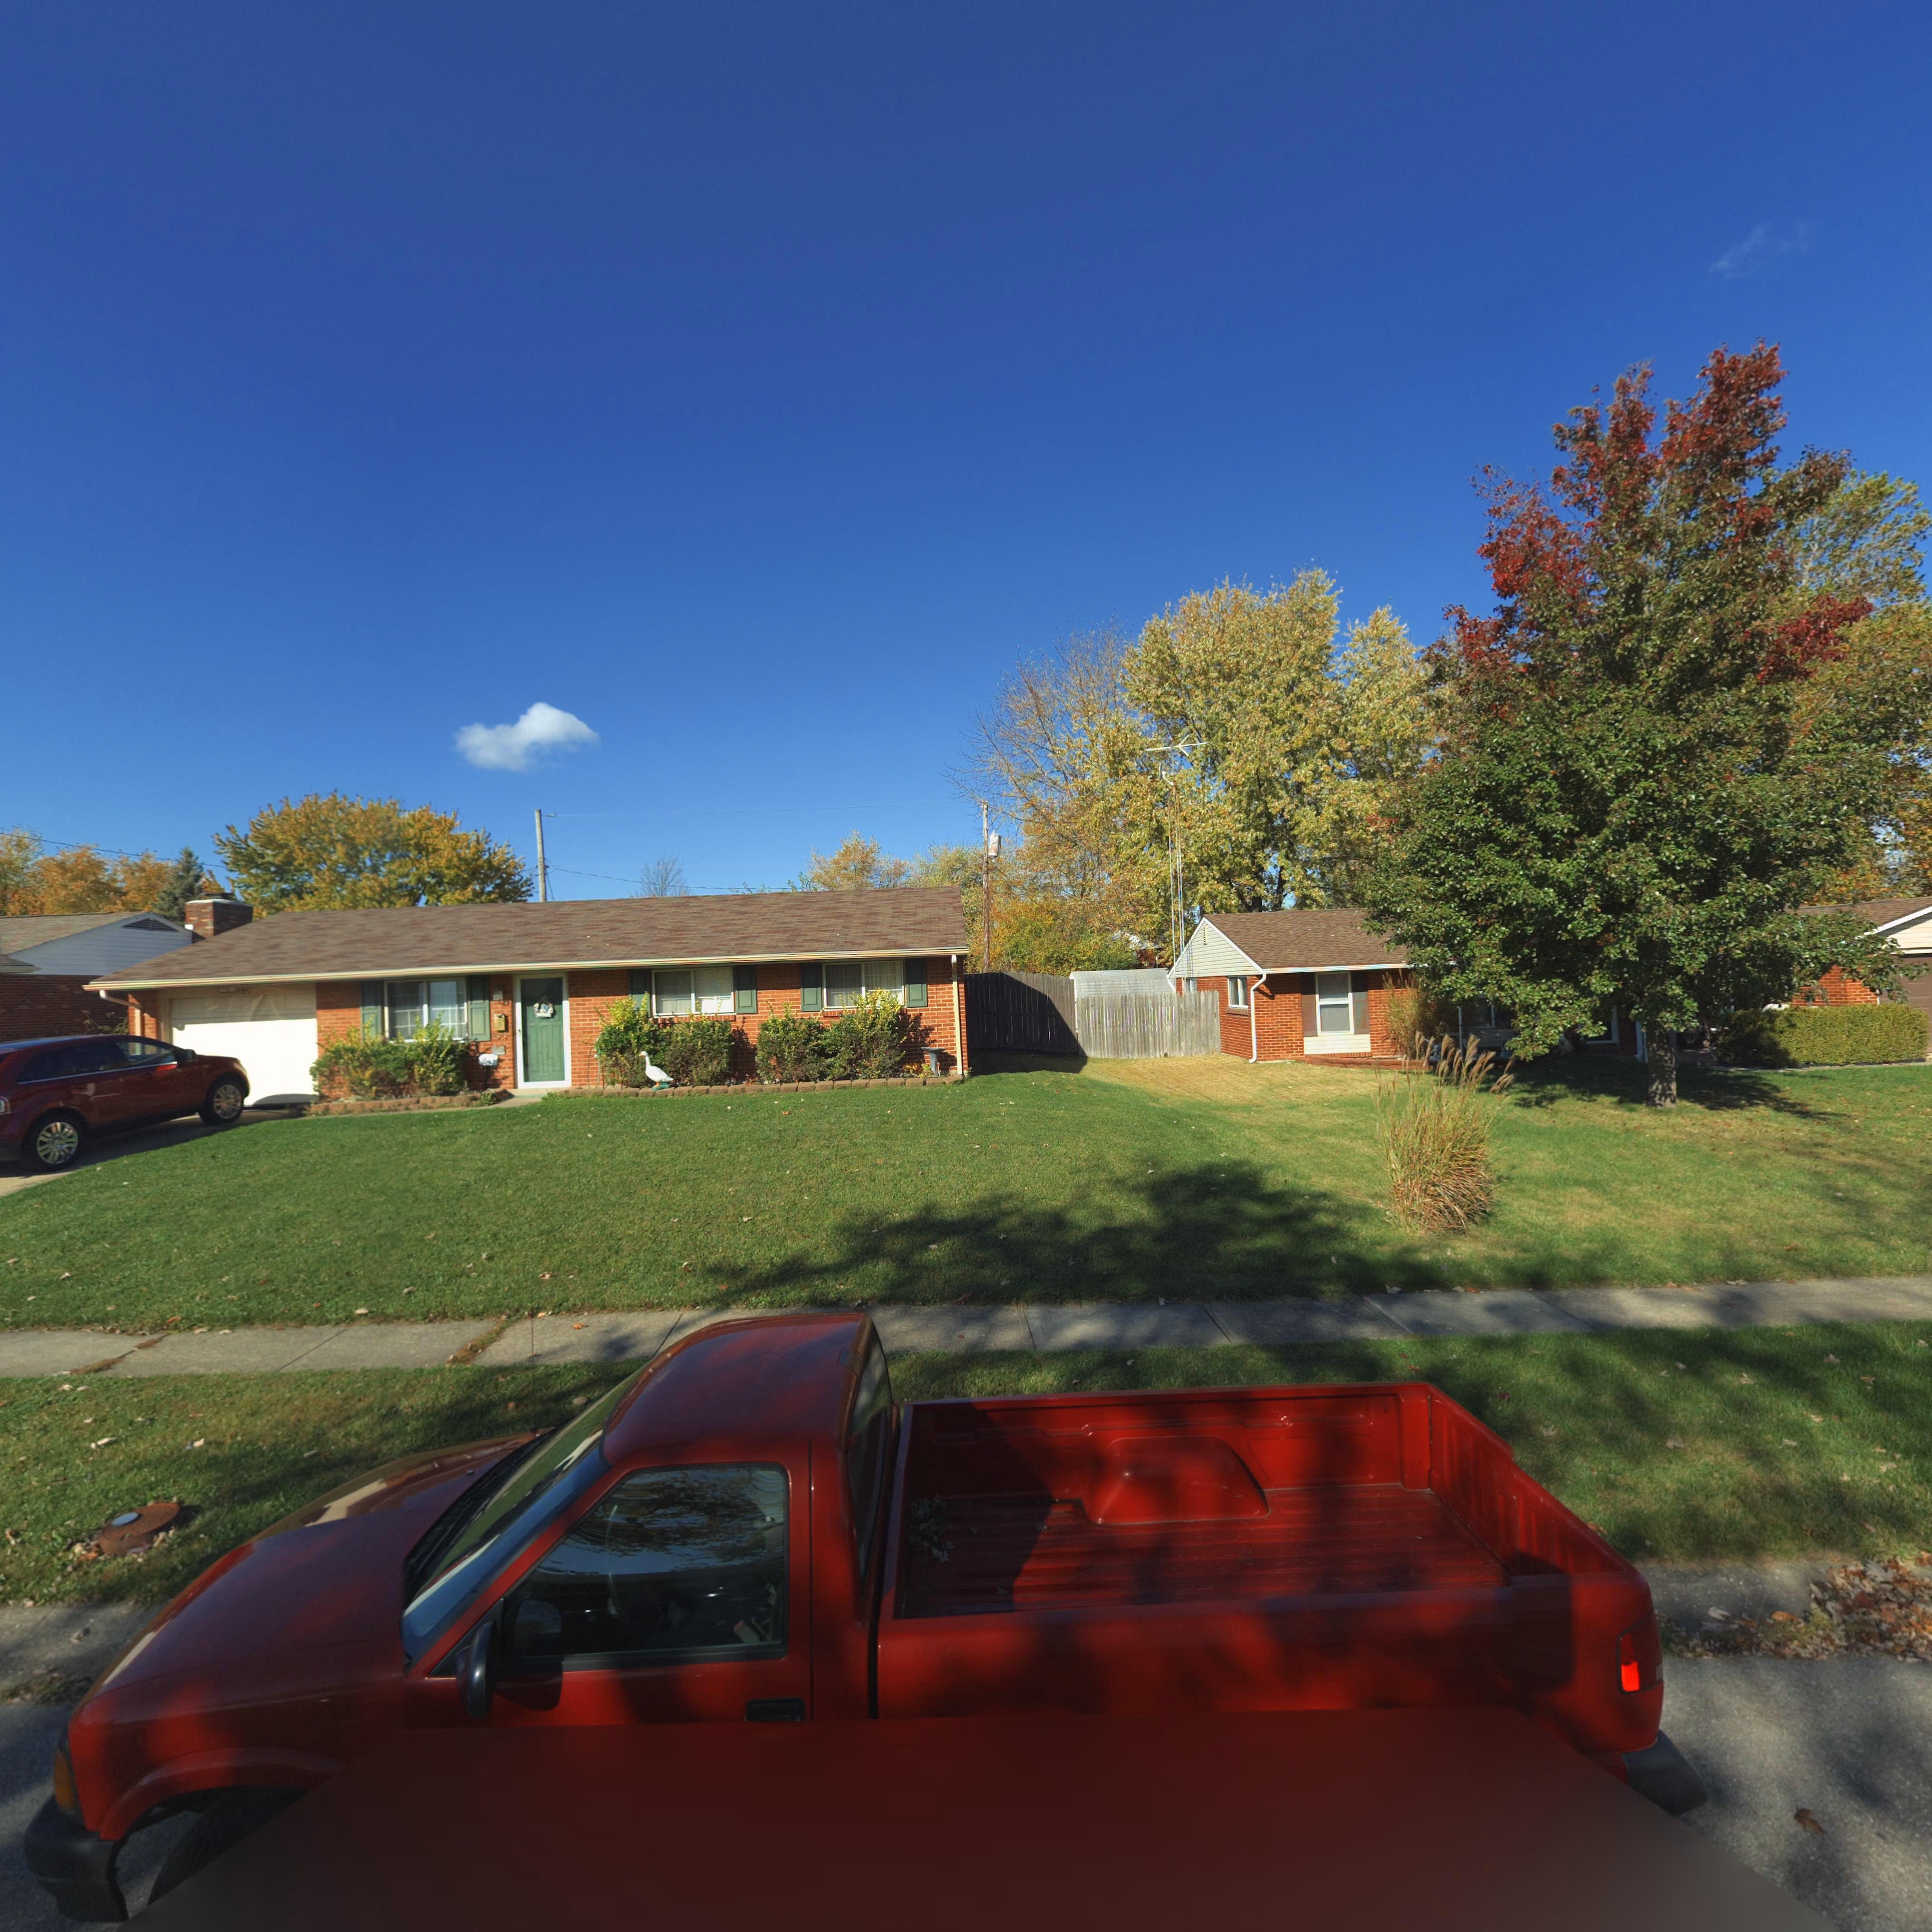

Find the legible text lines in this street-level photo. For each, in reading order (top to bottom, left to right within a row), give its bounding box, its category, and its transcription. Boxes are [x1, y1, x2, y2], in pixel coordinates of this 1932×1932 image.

[240, 986, 252, 996] StreetNumber: 2*